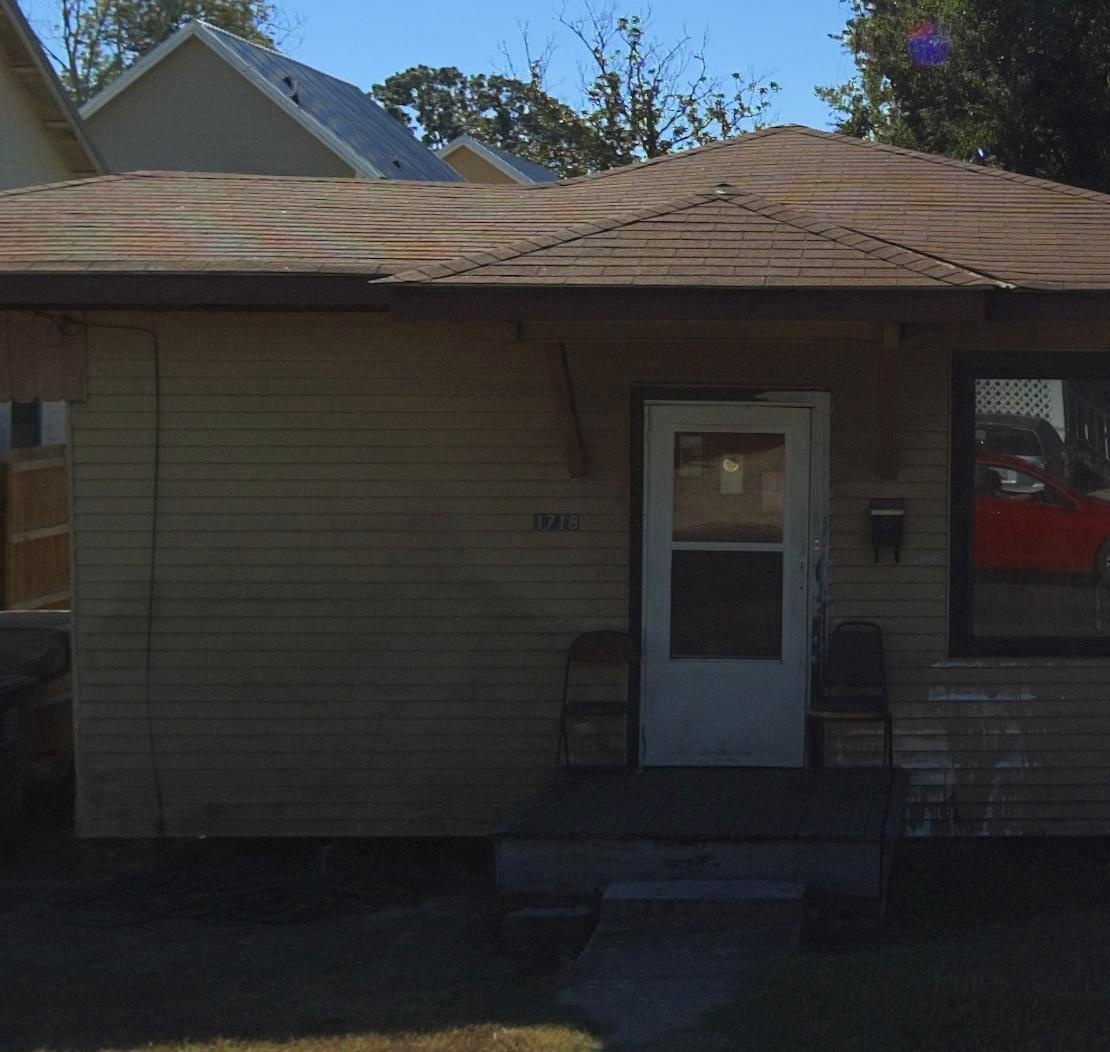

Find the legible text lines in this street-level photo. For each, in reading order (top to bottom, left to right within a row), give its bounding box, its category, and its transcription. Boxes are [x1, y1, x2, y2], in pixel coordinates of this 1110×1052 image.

[535, 513, 580, 533] StreetNumber: 1718